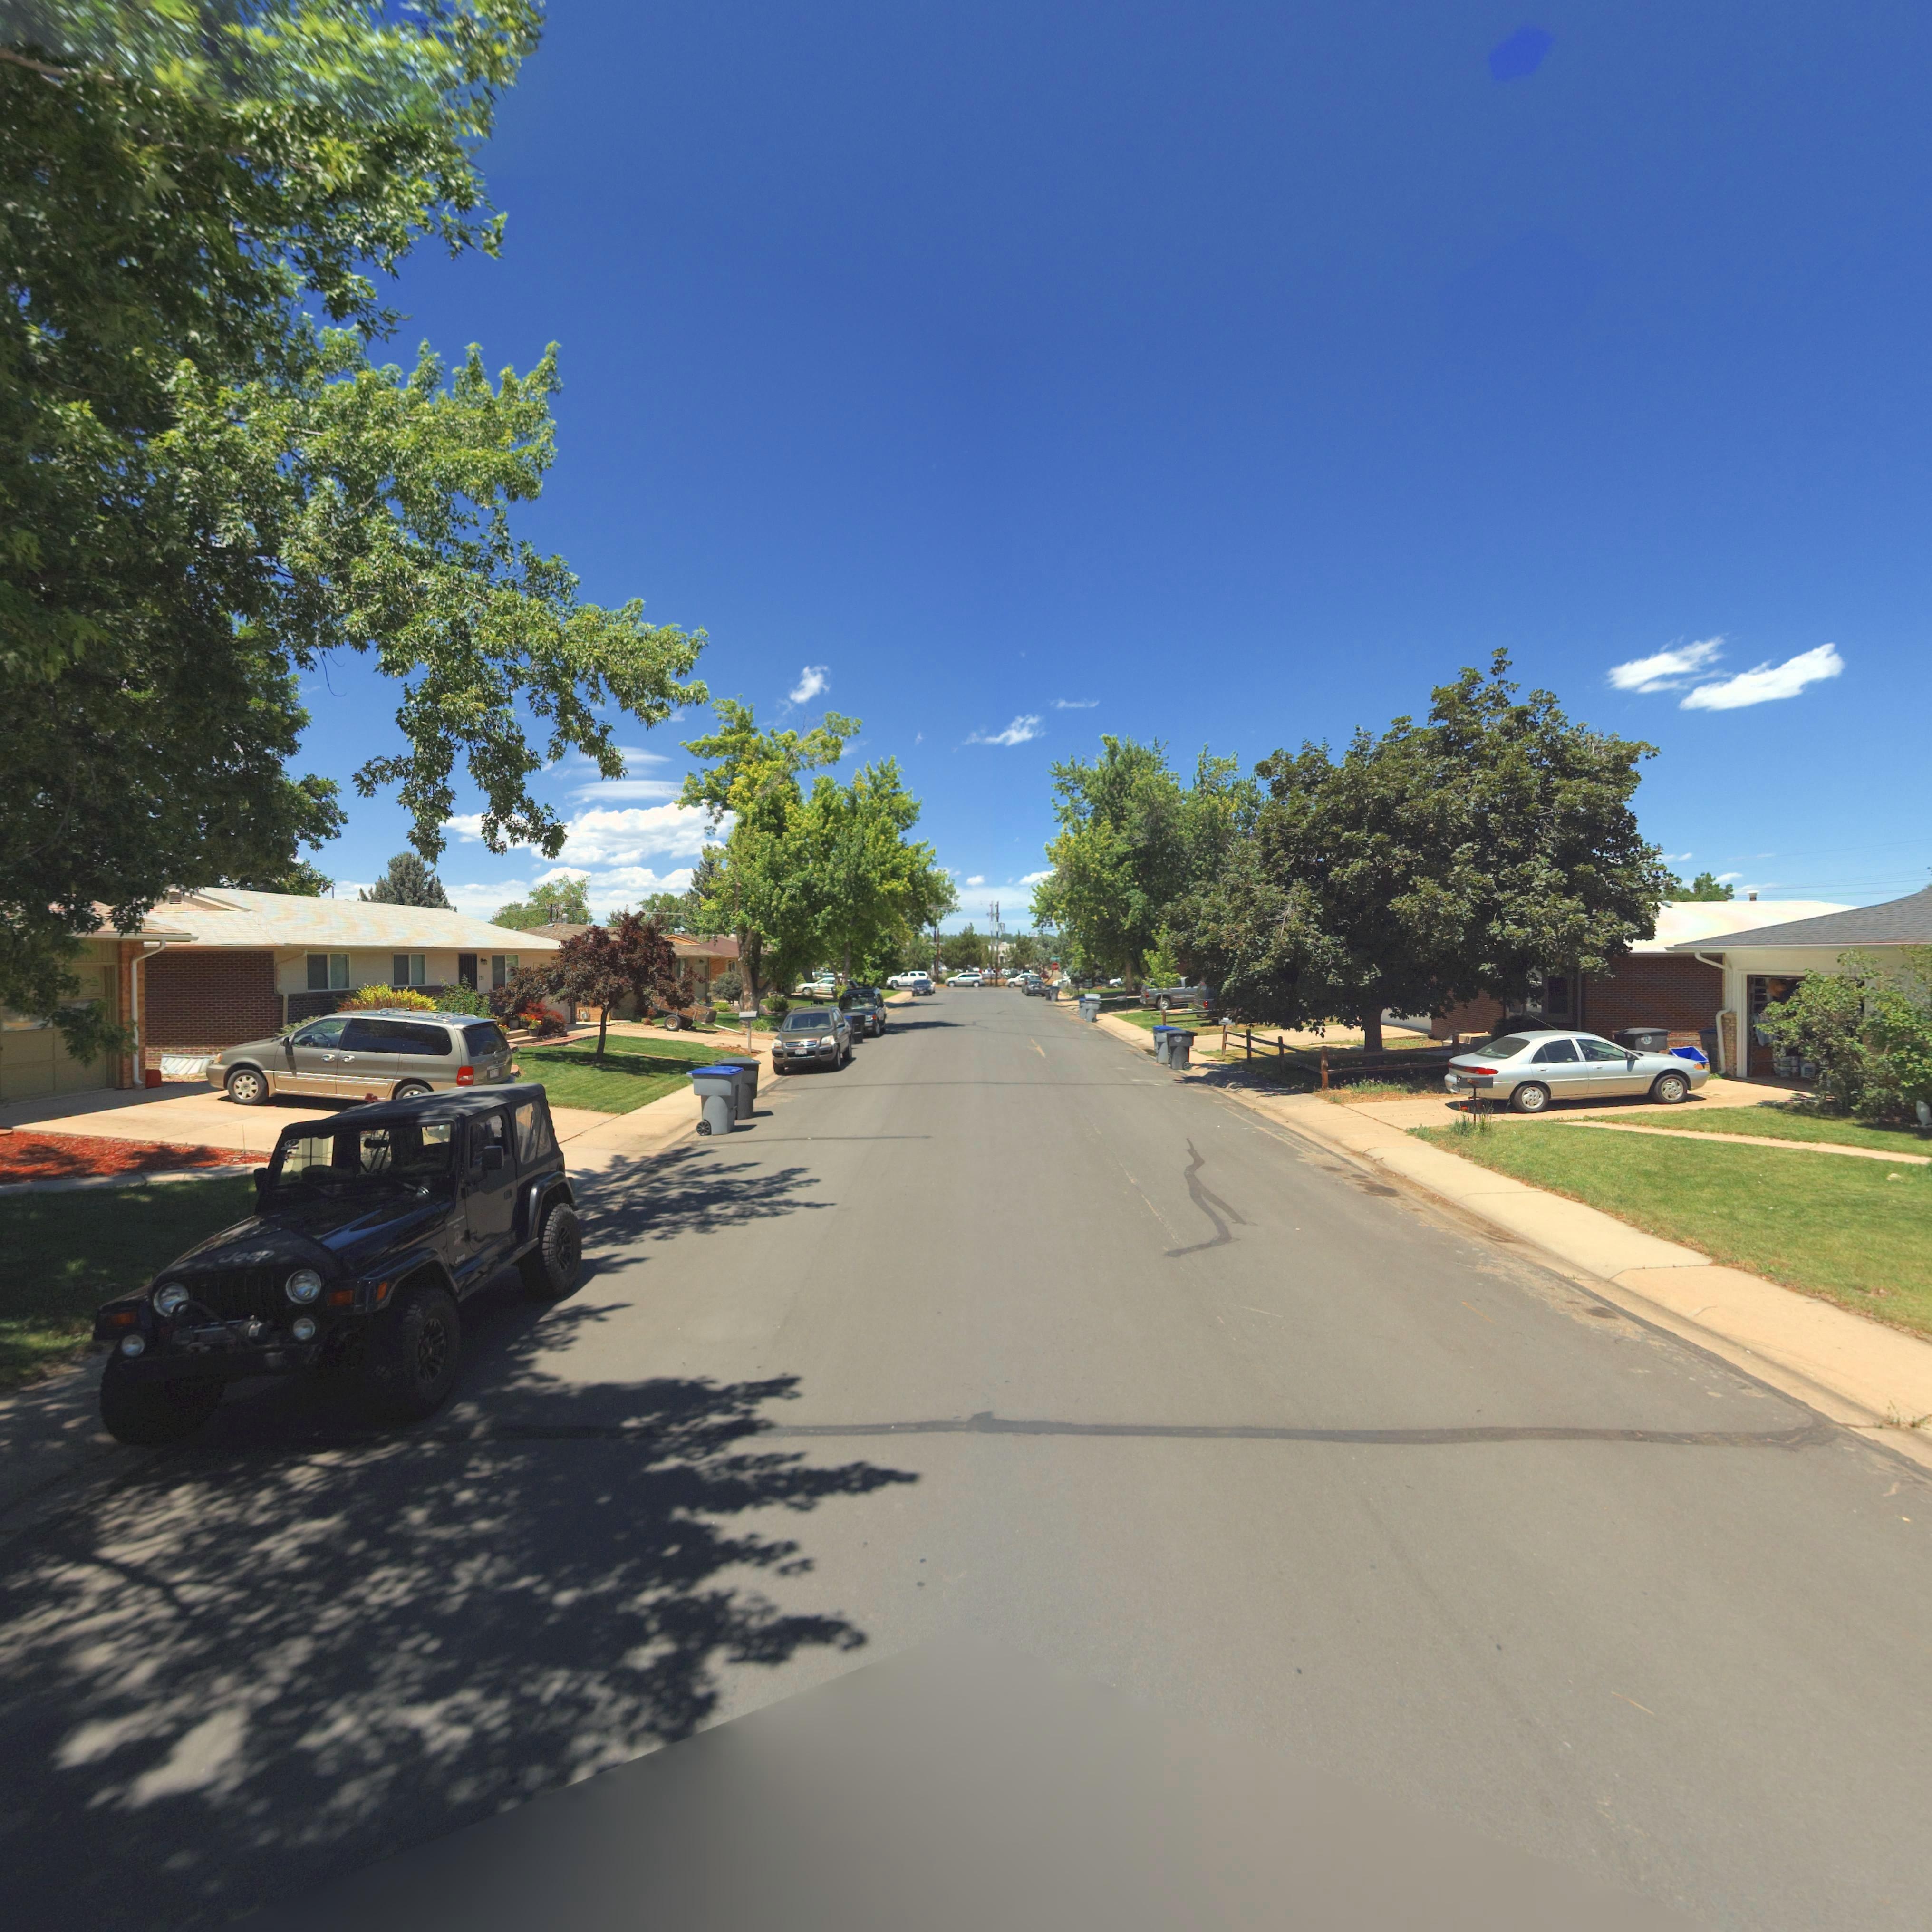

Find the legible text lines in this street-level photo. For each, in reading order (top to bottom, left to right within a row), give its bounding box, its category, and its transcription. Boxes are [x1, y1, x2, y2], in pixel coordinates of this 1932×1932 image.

[478, 975, 484, 981] StreetNumber: 721